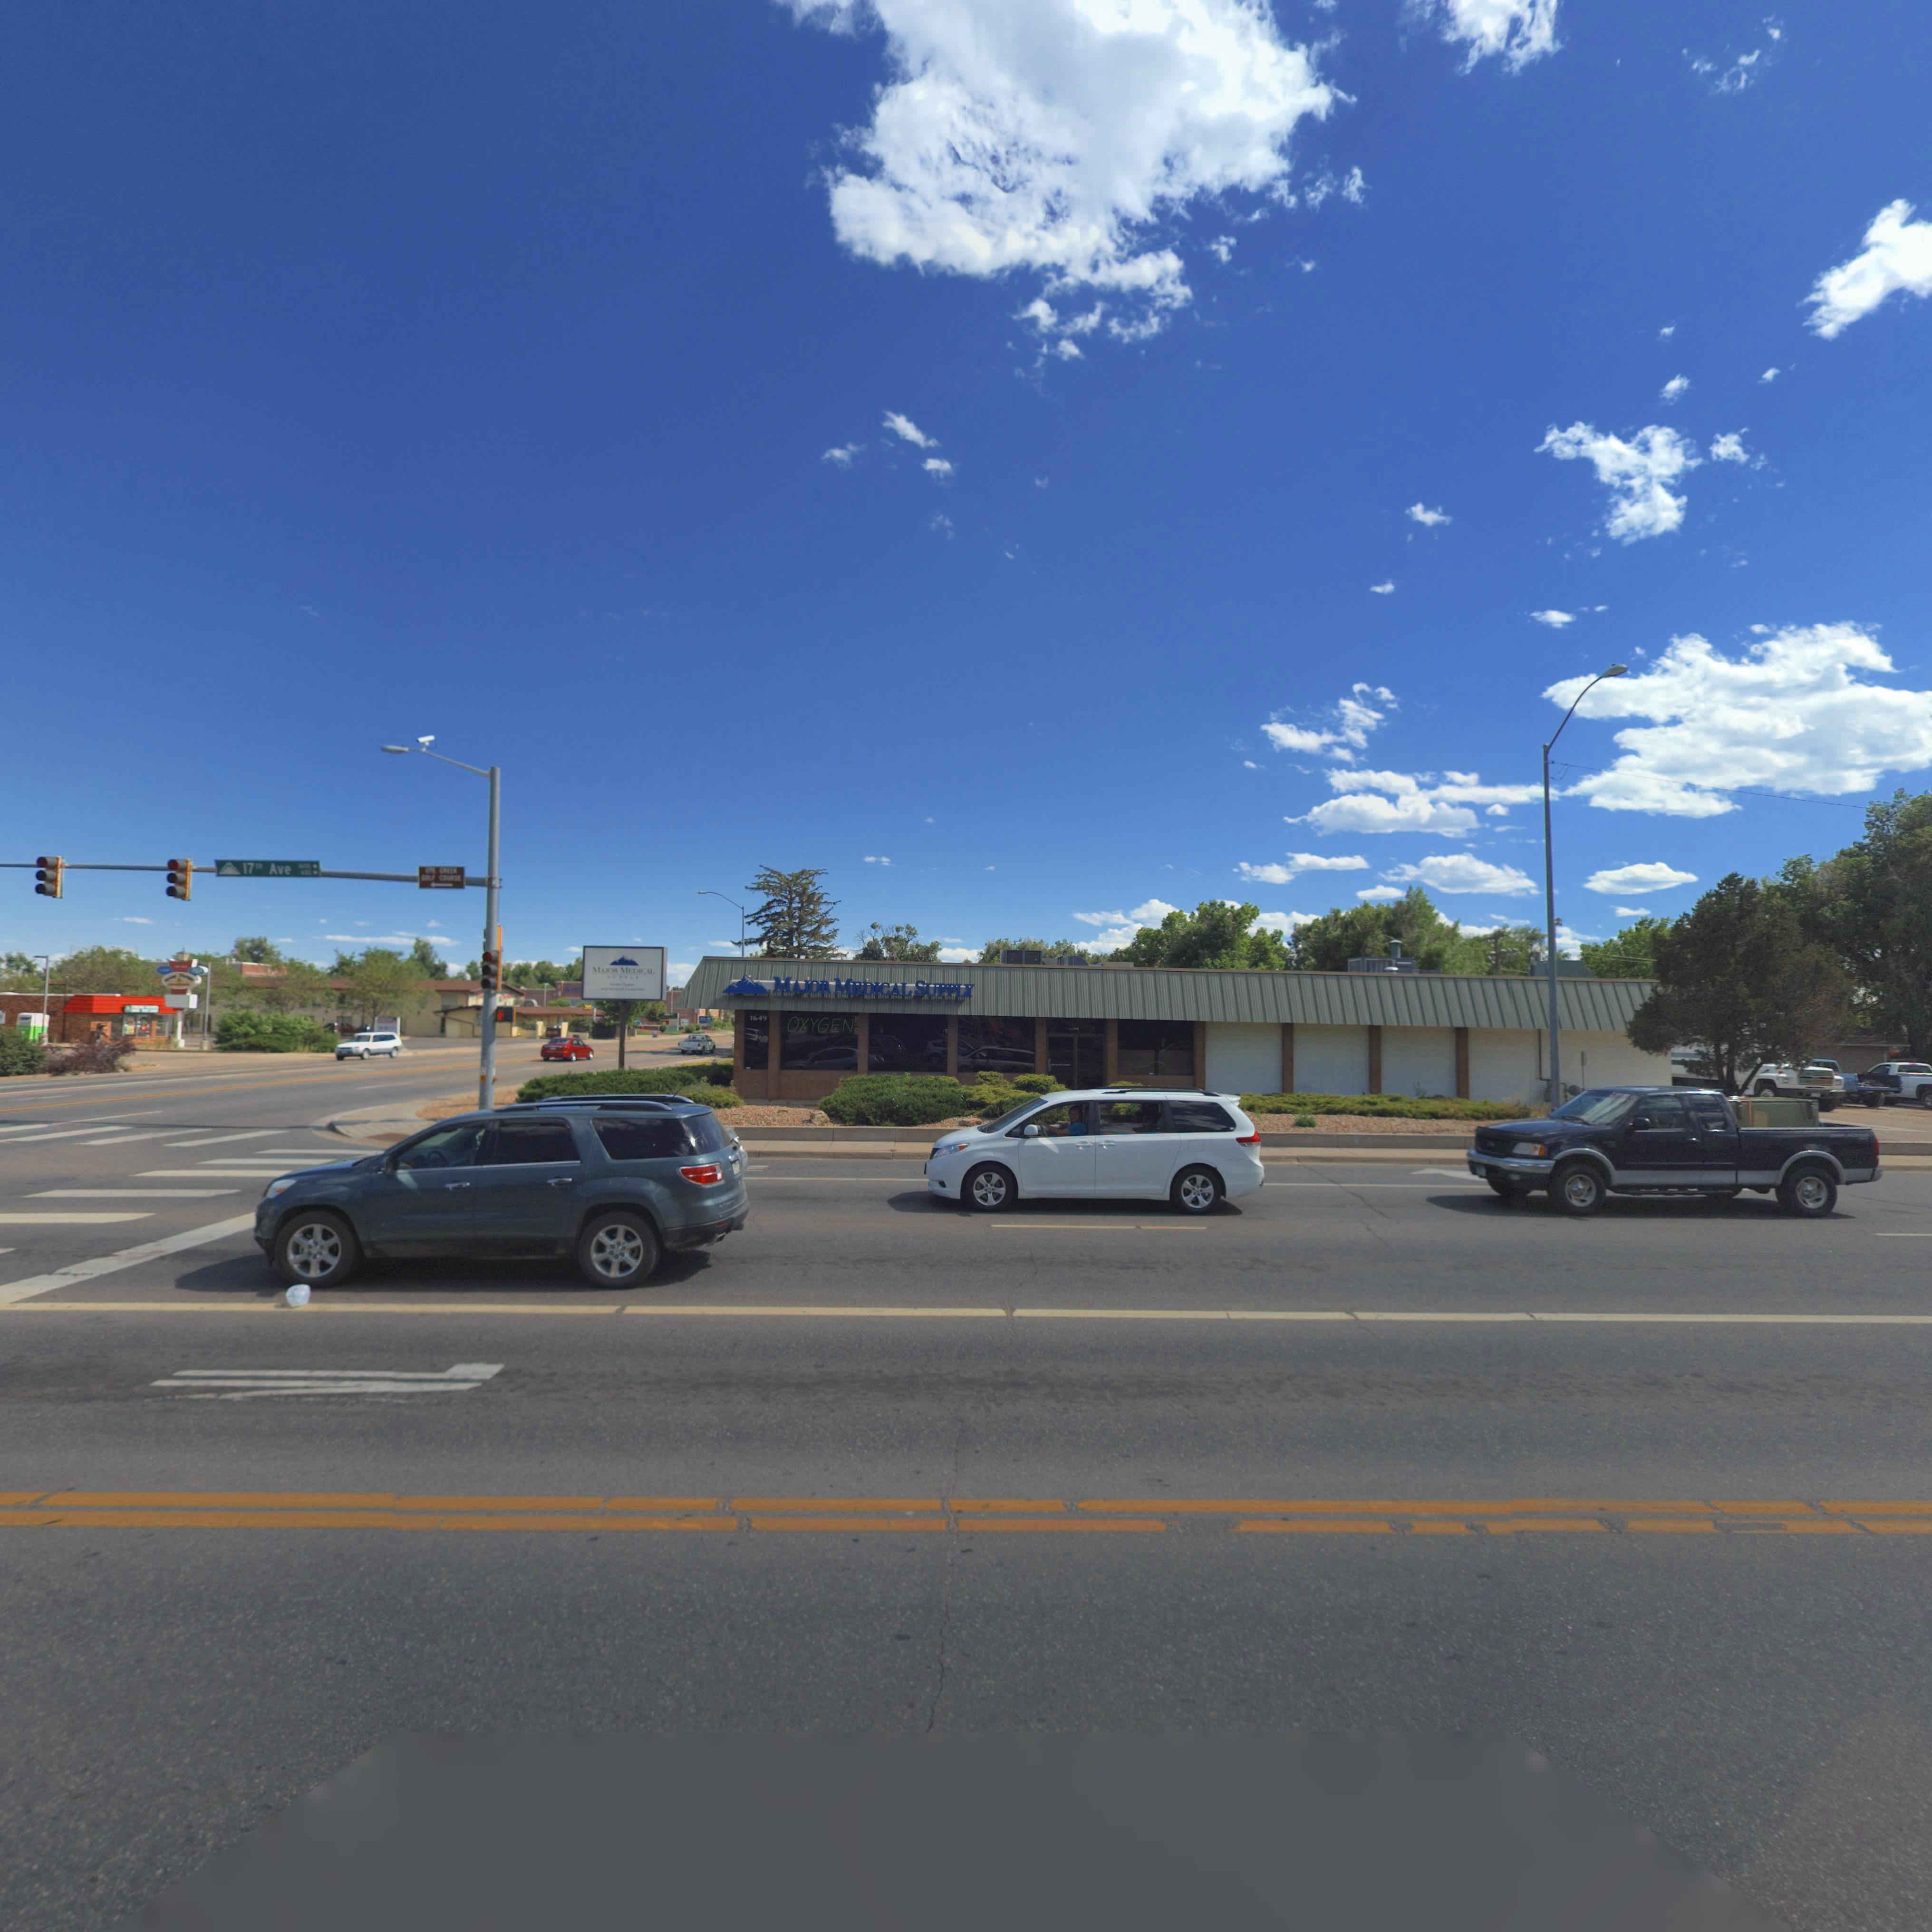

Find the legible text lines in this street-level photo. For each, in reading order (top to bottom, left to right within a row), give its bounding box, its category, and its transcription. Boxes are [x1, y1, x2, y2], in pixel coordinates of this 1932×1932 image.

[241, 861, 292, 875] StreetName: 17th Ave
[299, 862, 311, 869] StreetNumberRange: **0
[299, 869, 319, 875] StreetNumberRange: 600 ->
[592, 966, 655, 975] BusinessName: MAJOR MEDICAL
[772, 976, 976, 998] BusinessName: MAJOR MEDICAL SUPPLY
[749, 1014, 767, 1022] StreetNumber: 1649
[1072, 1027, 1079, 1030] StreetNumber: ***4